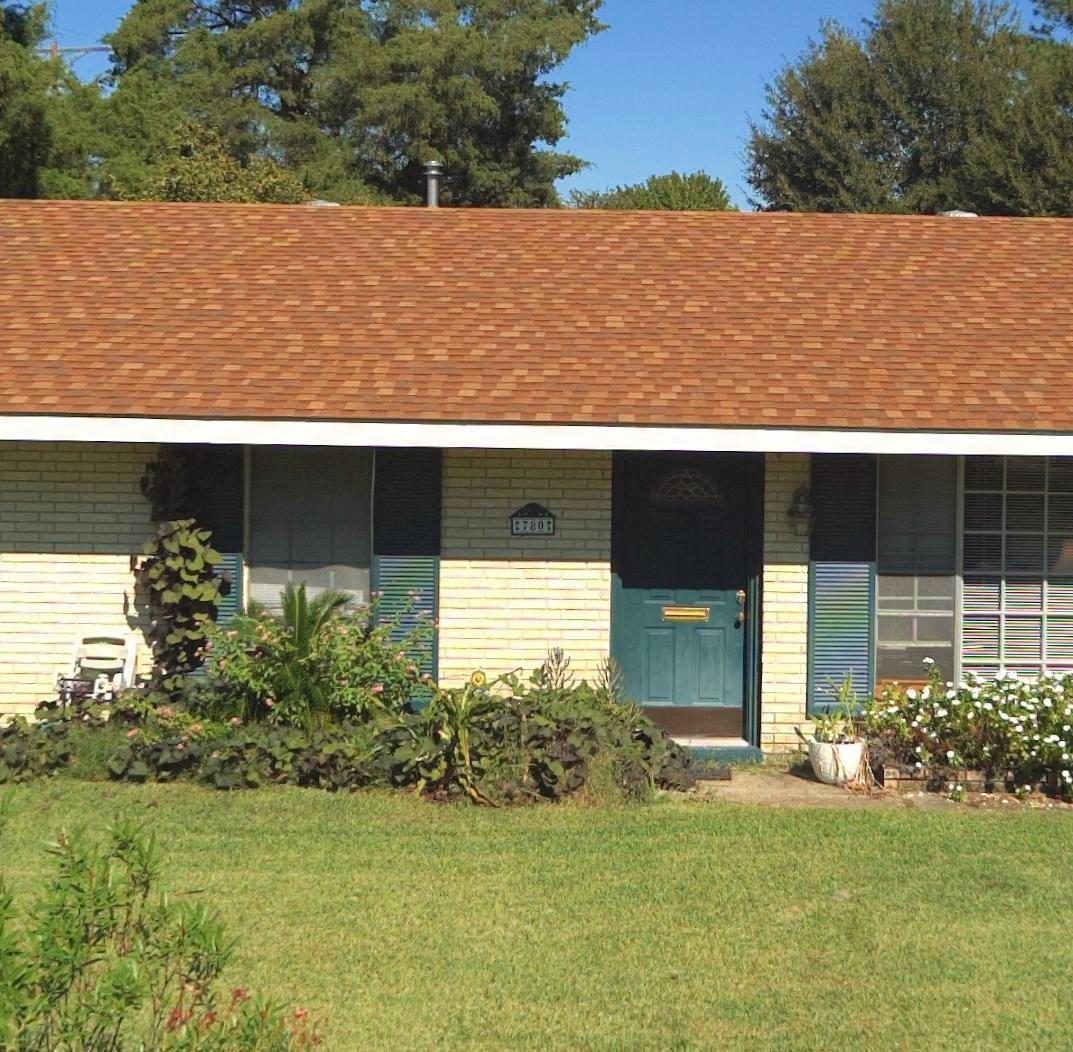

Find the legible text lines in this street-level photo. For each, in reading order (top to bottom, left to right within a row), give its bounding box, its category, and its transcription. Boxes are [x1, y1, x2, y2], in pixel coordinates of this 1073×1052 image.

[522, 519, 544, 532] StreetNumber: 780